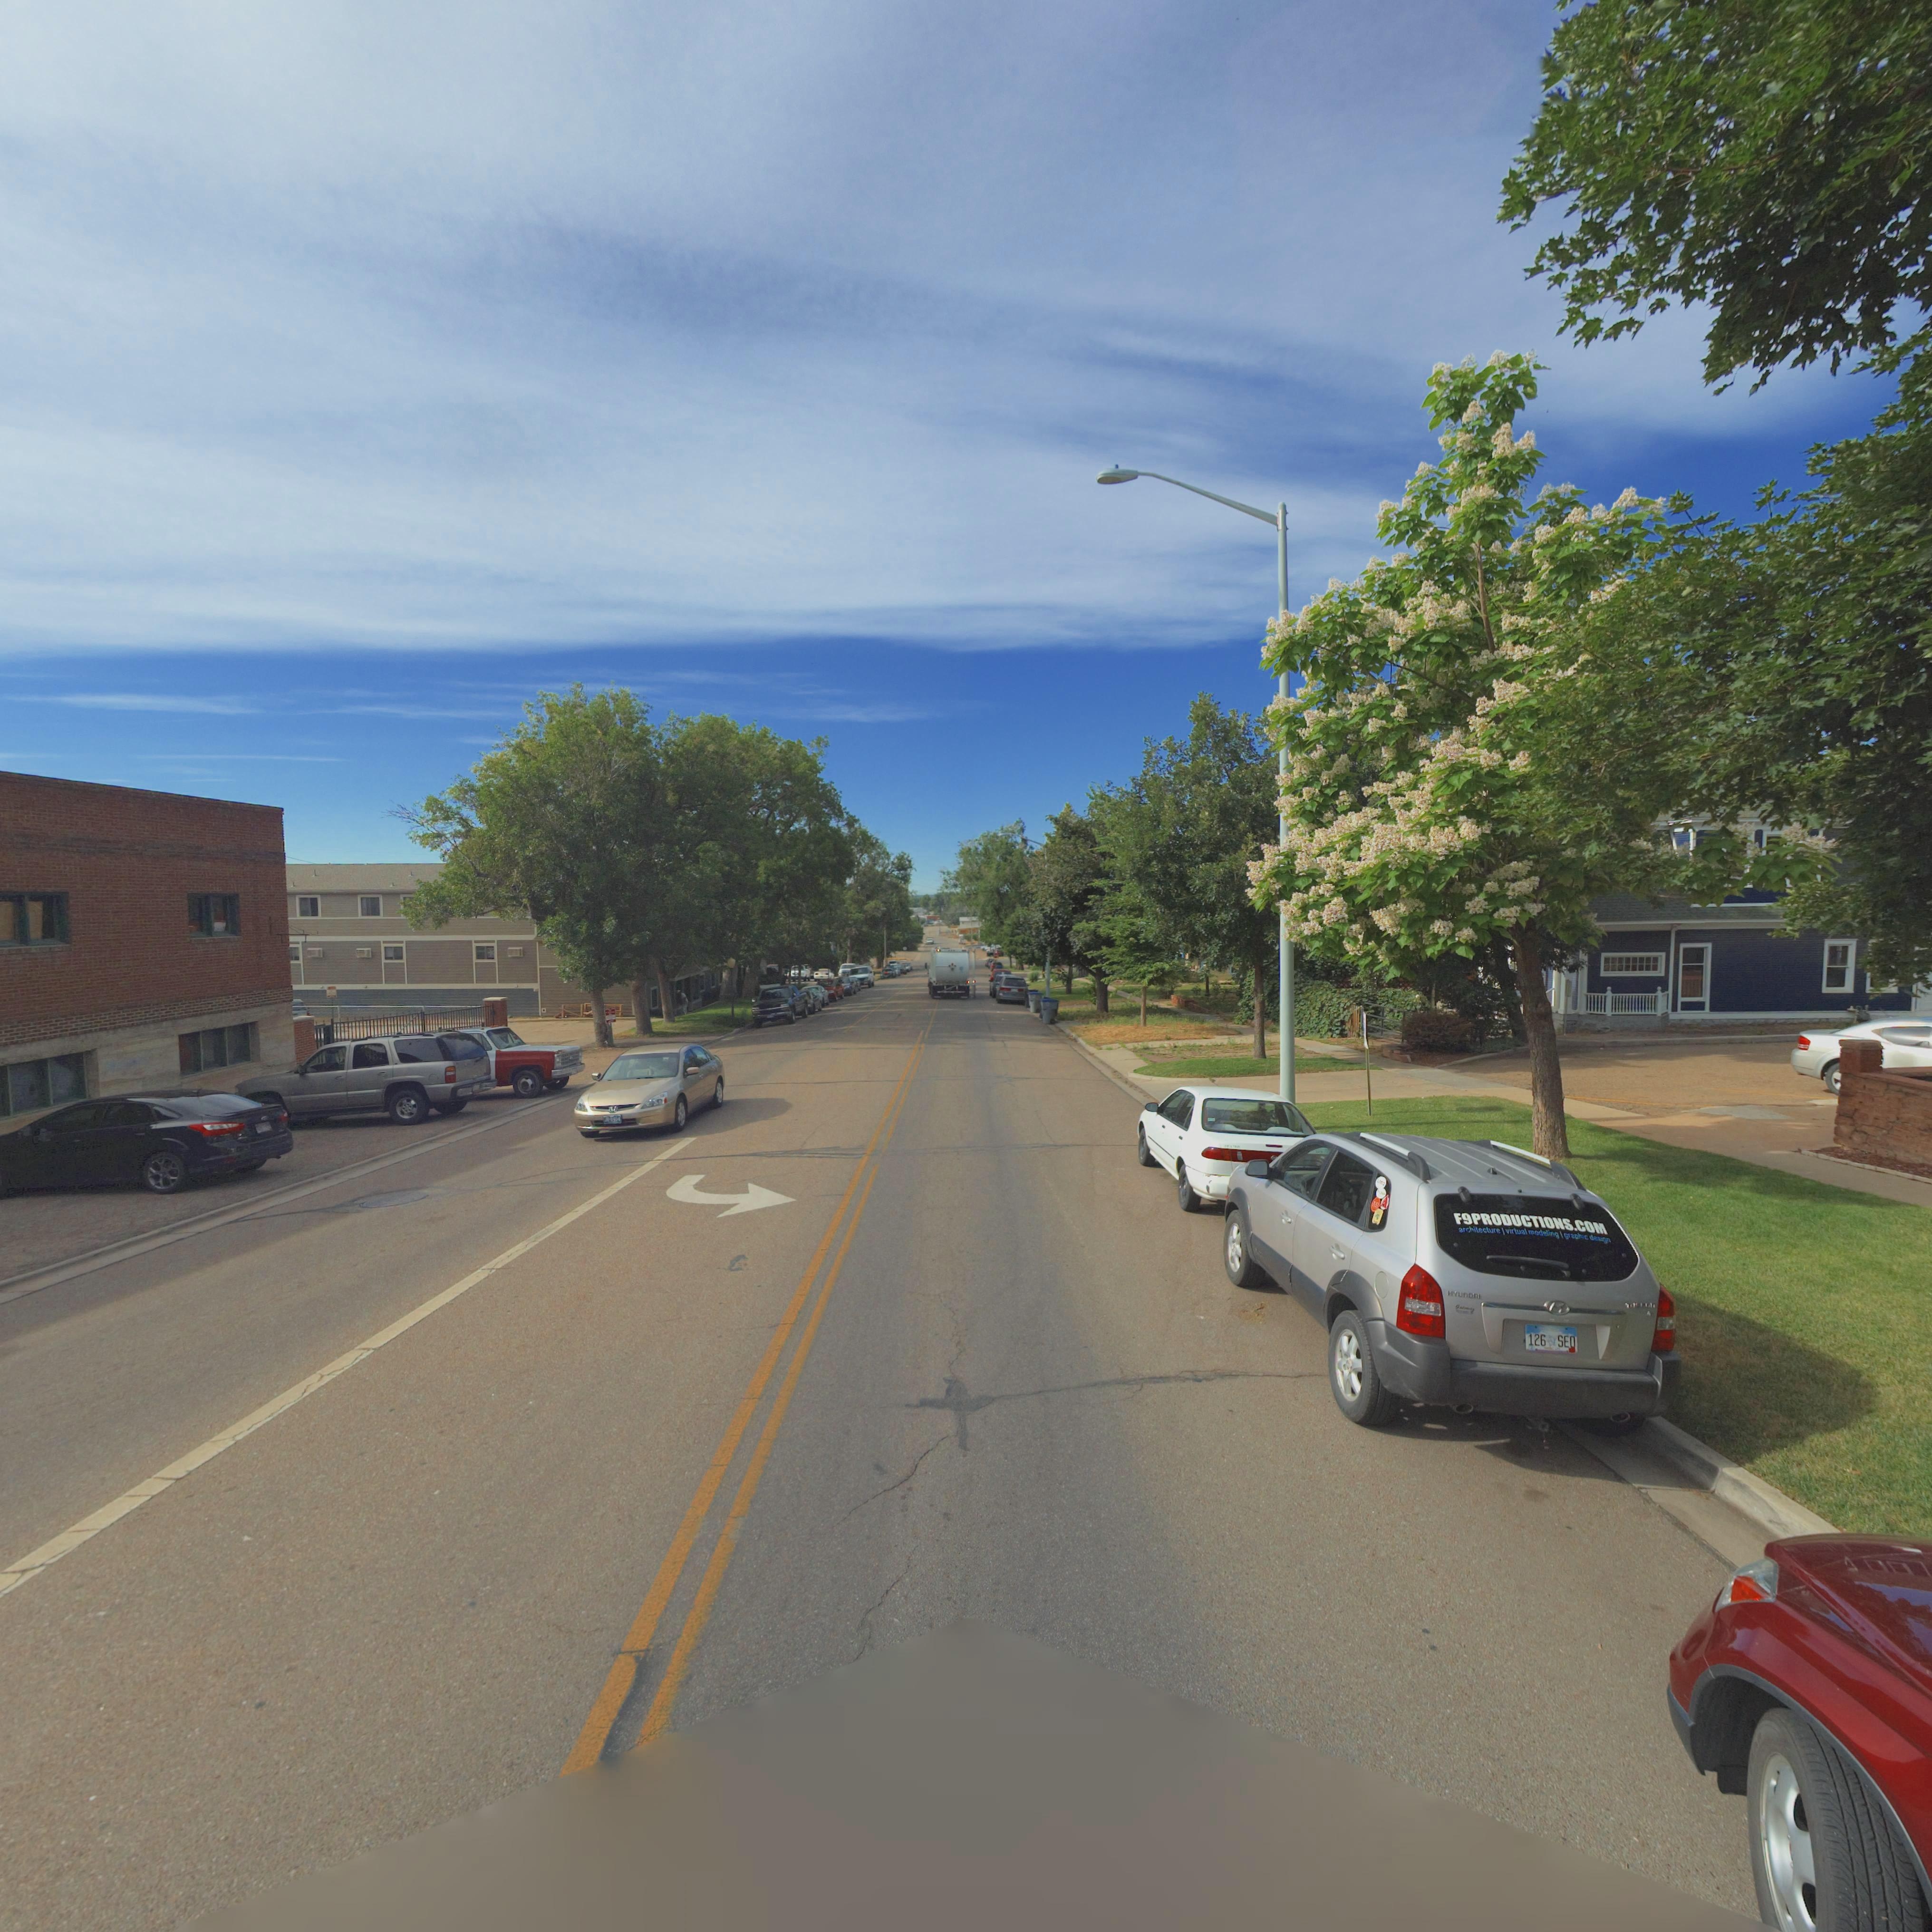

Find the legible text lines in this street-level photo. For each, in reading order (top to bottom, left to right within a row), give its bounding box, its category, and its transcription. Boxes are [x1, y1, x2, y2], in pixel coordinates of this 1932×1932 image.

[1453, 1213, 1607, 1234] BusinessName: F9PRODUCTlONS COM